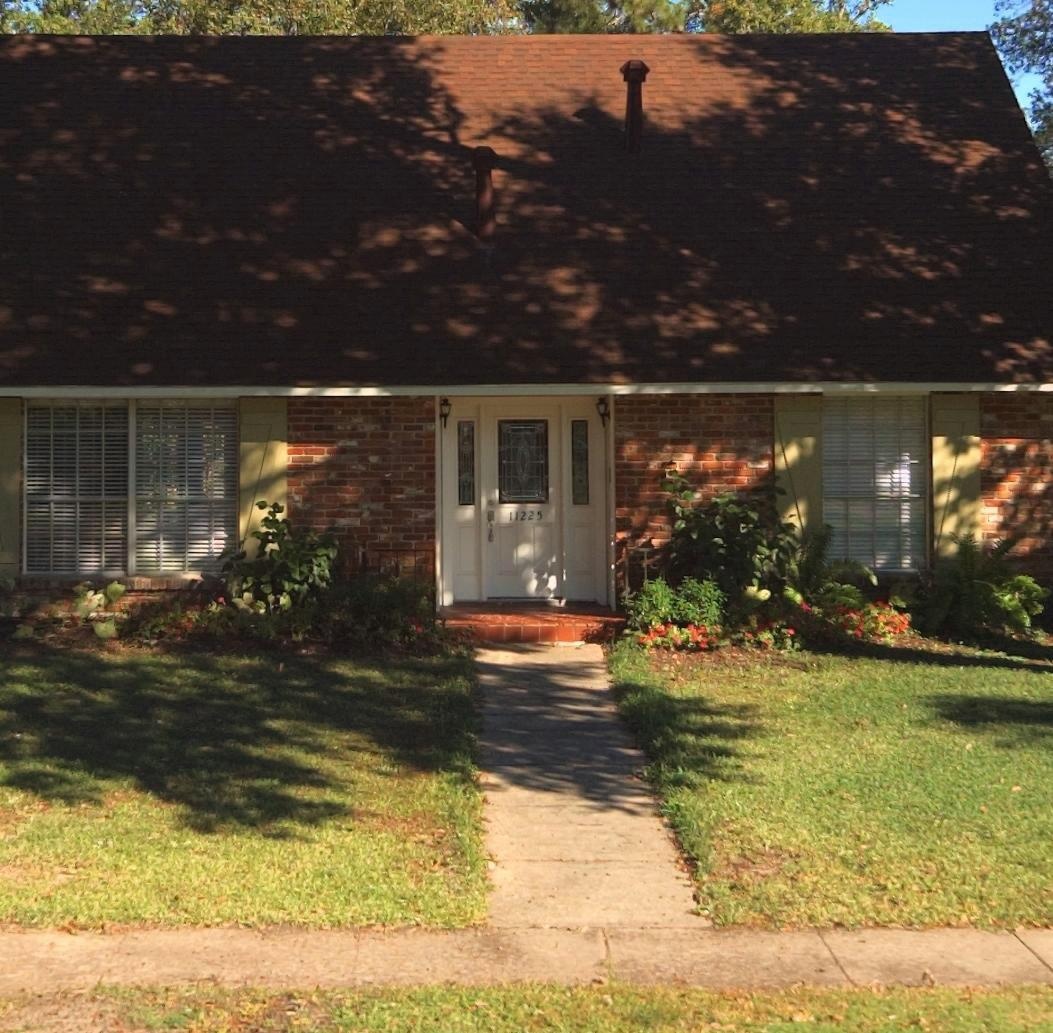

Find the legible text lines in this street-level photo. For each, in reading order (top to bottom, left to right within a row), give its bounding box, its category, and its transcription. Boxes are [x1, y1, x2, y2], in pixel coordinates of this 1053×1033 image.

[508, 508, 545, 523] StreetNumber: 11225